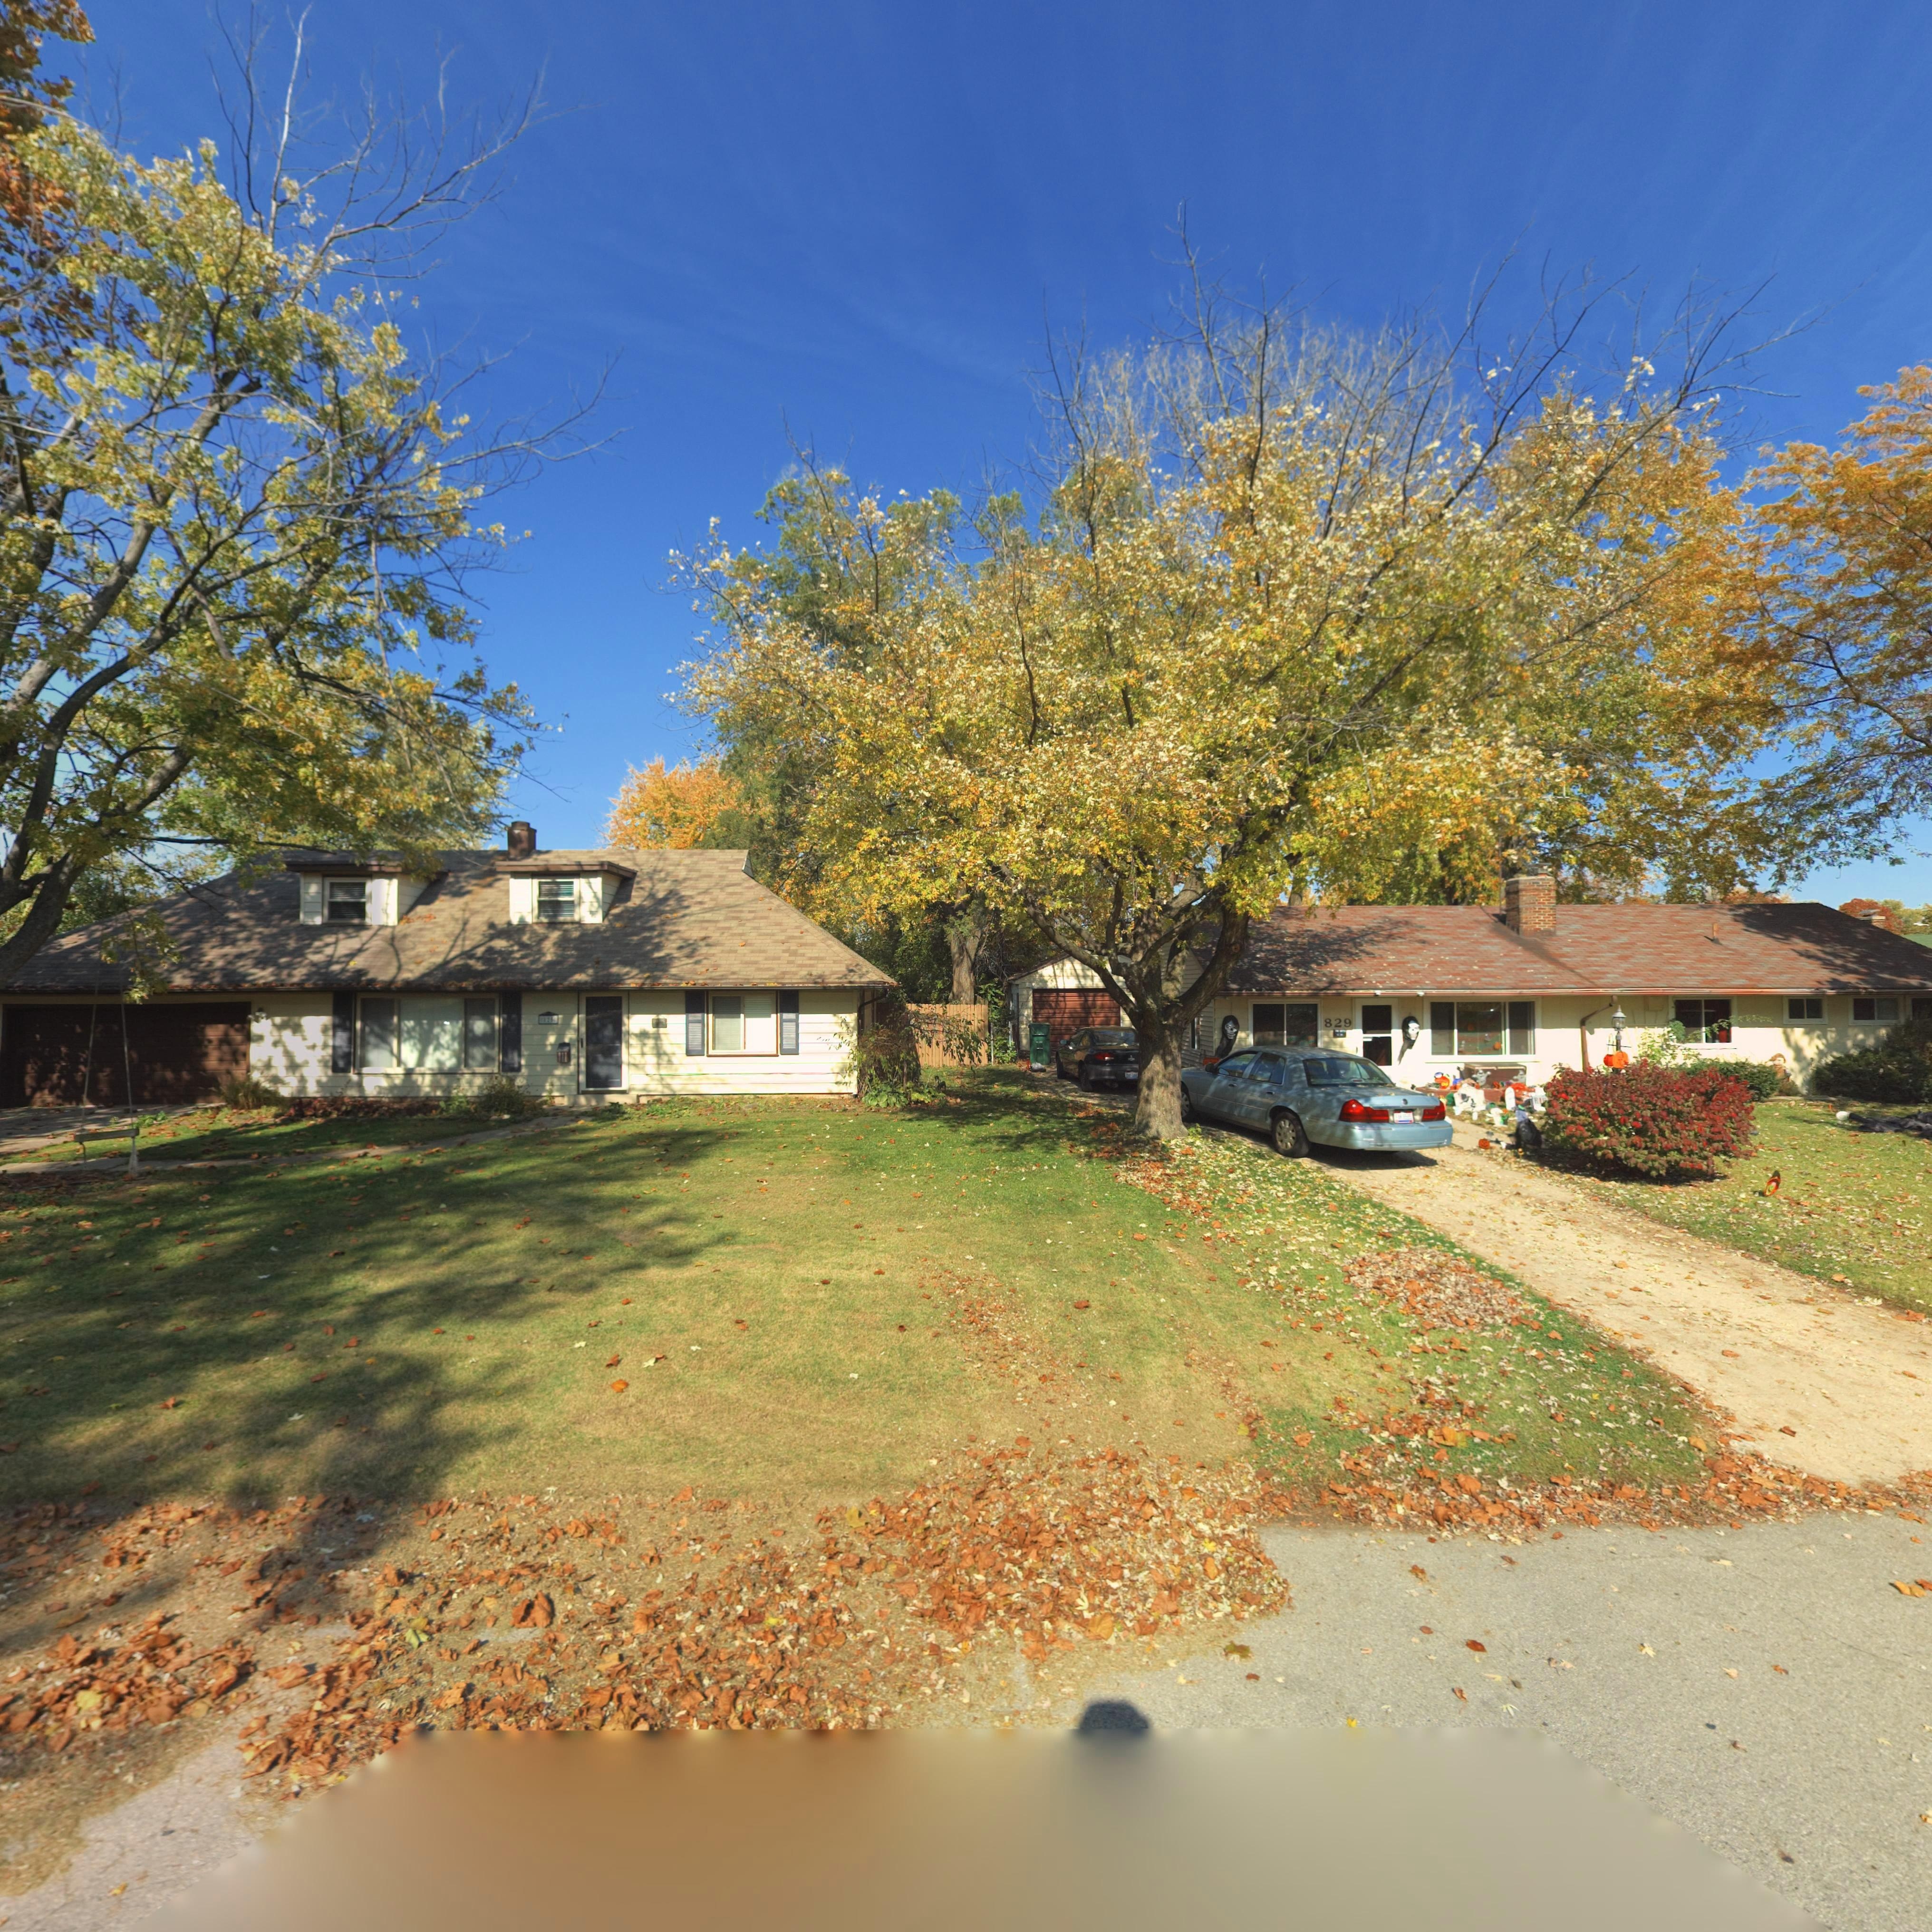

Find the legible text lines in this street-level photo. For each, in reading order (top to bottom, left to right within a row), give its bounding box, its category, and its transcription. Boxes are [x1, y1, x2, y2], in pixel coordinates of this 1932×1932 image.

[1324, 1017, 1352, 1028] StreetNumber: 829